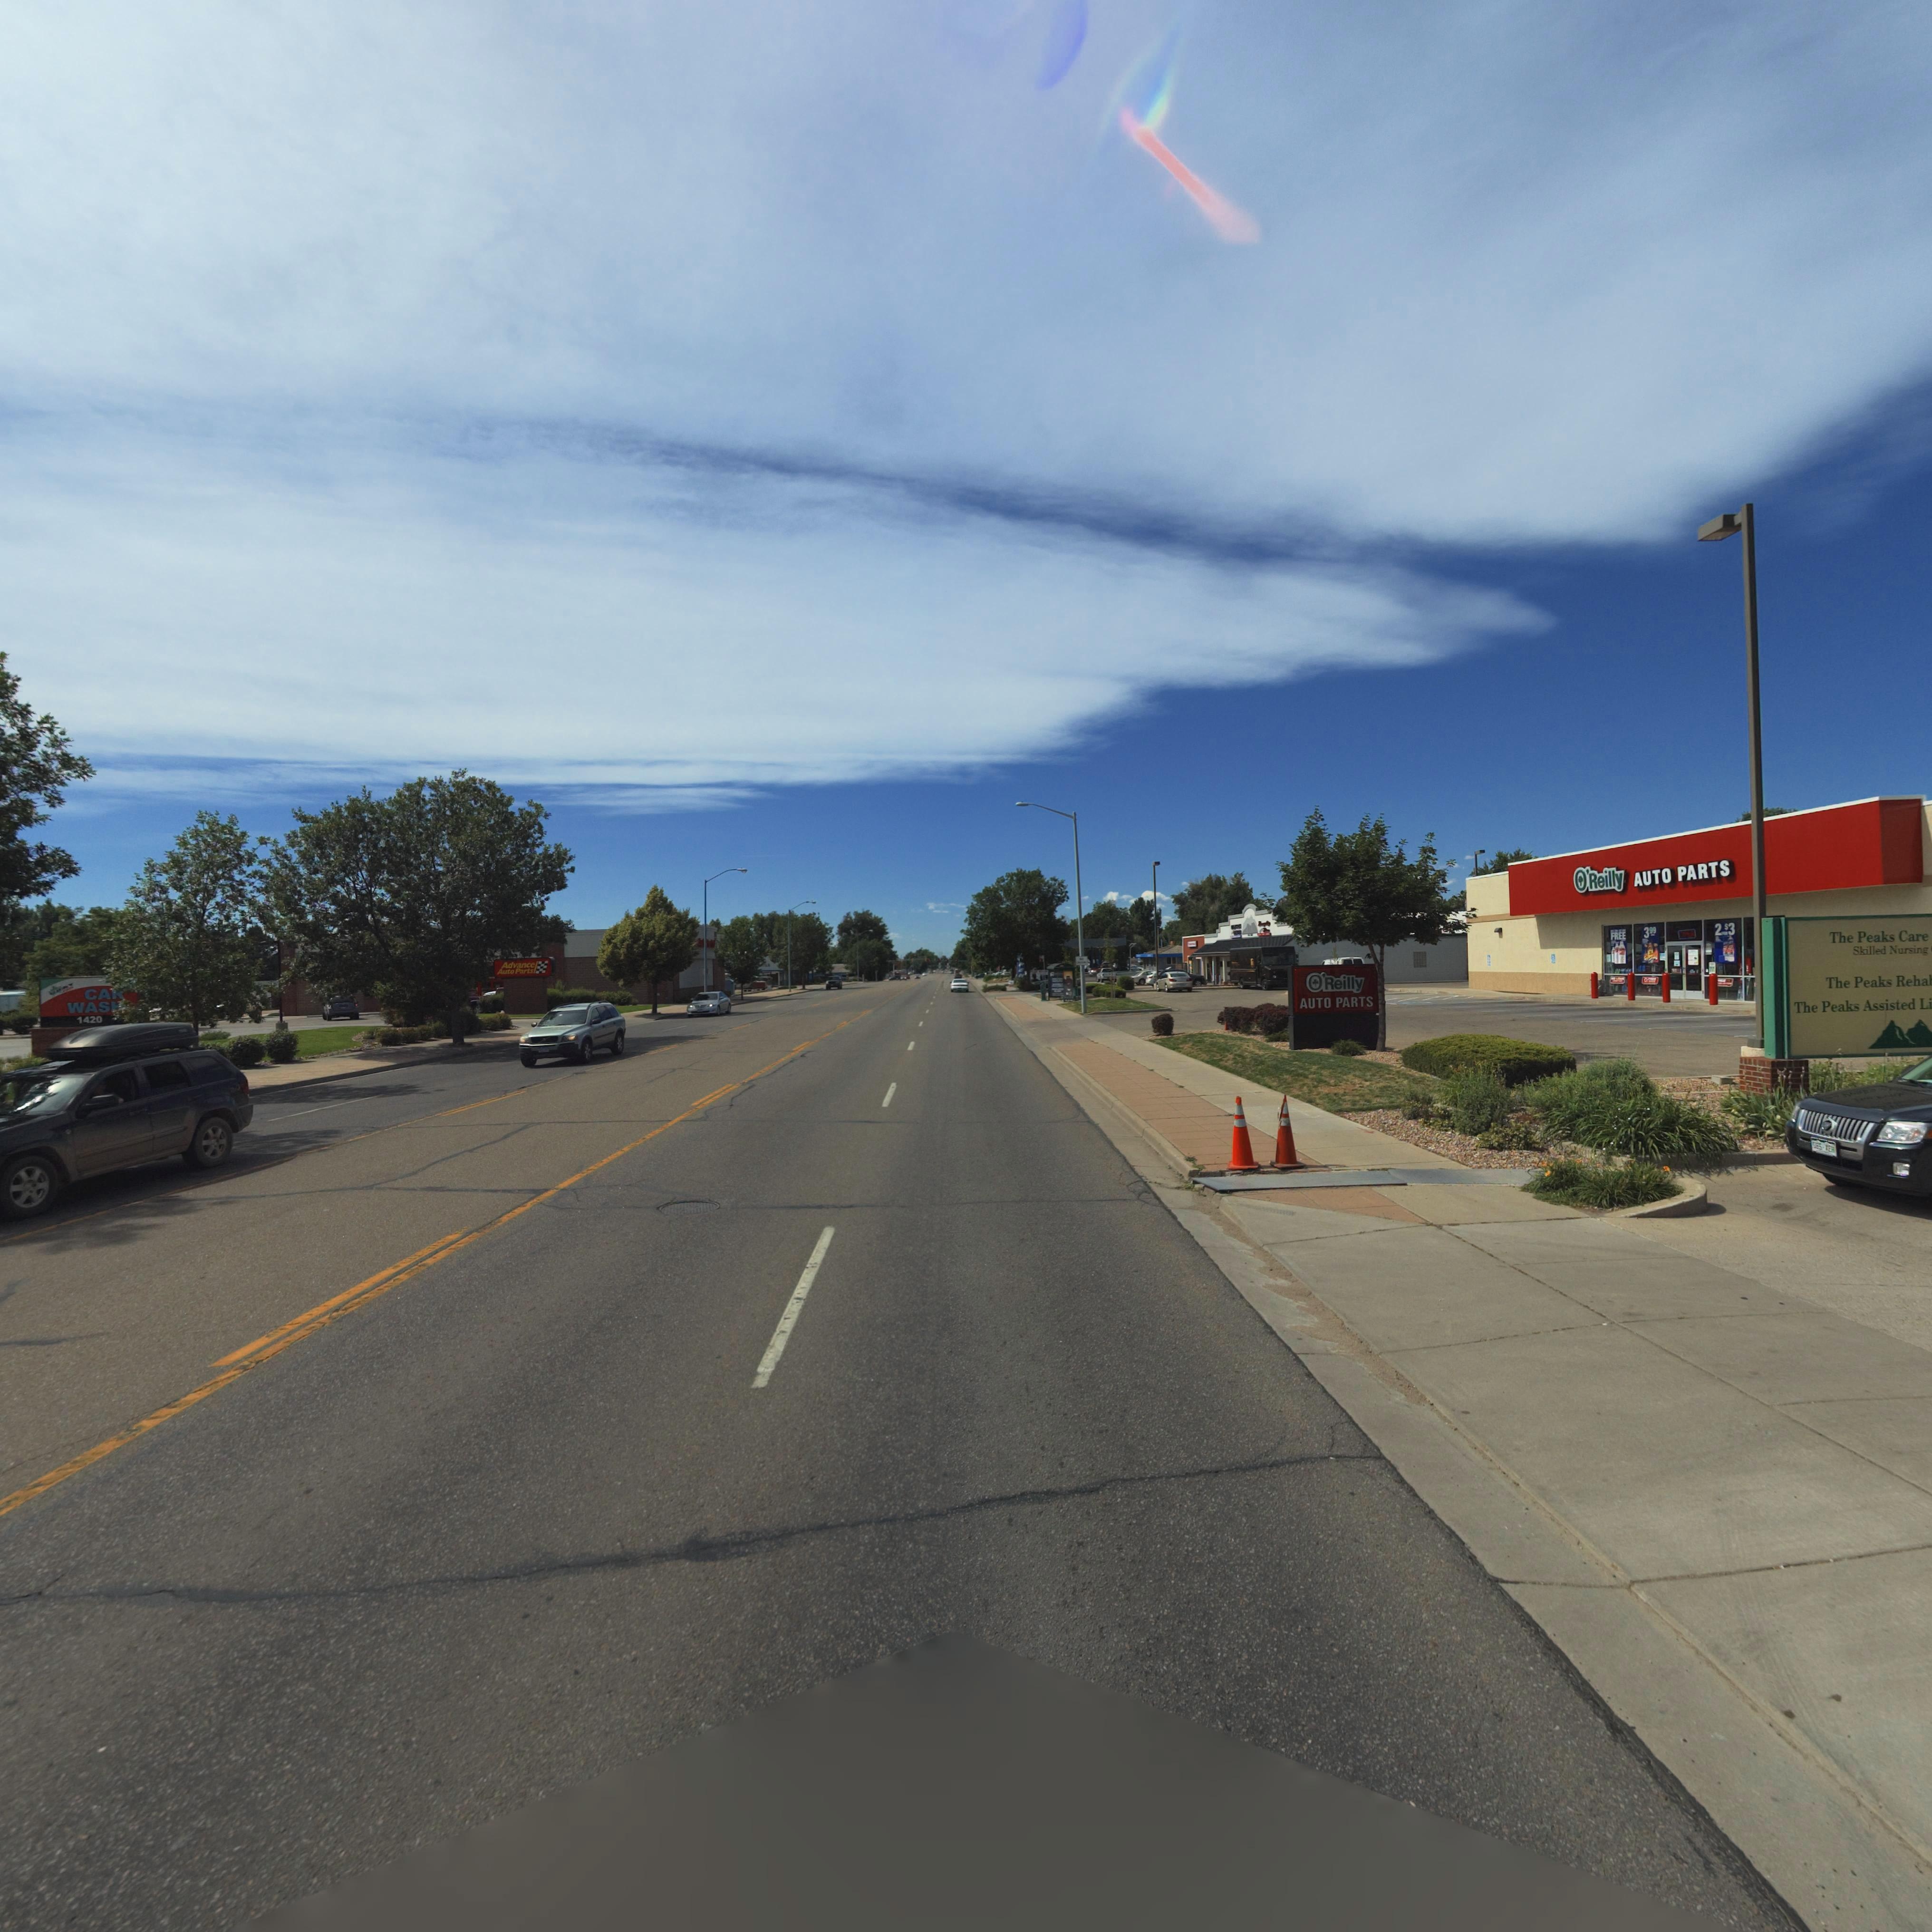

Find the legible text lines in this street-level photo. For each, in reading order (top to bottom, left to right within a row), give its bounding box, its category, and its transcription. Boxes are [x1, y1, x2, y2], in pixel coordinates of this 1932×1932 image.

[1574, 858, 1731, 891] BusinessName: O'Reilly AUTO PARTS
[1827, 929, 1930, 944] BusinessName: The Peaks Care
[496, 968, 534, 975] BusinessName: Auto Parts
[500, 961, 535, 969] BusinessName: Advance
[1307, 972, 1363, 993] BusinessName: O'Reilly
[1299, 995, 1373, 1009] BusinessName: AUTO PARTS
[76, 1015, 103, 1024] StreetNumber: 1420